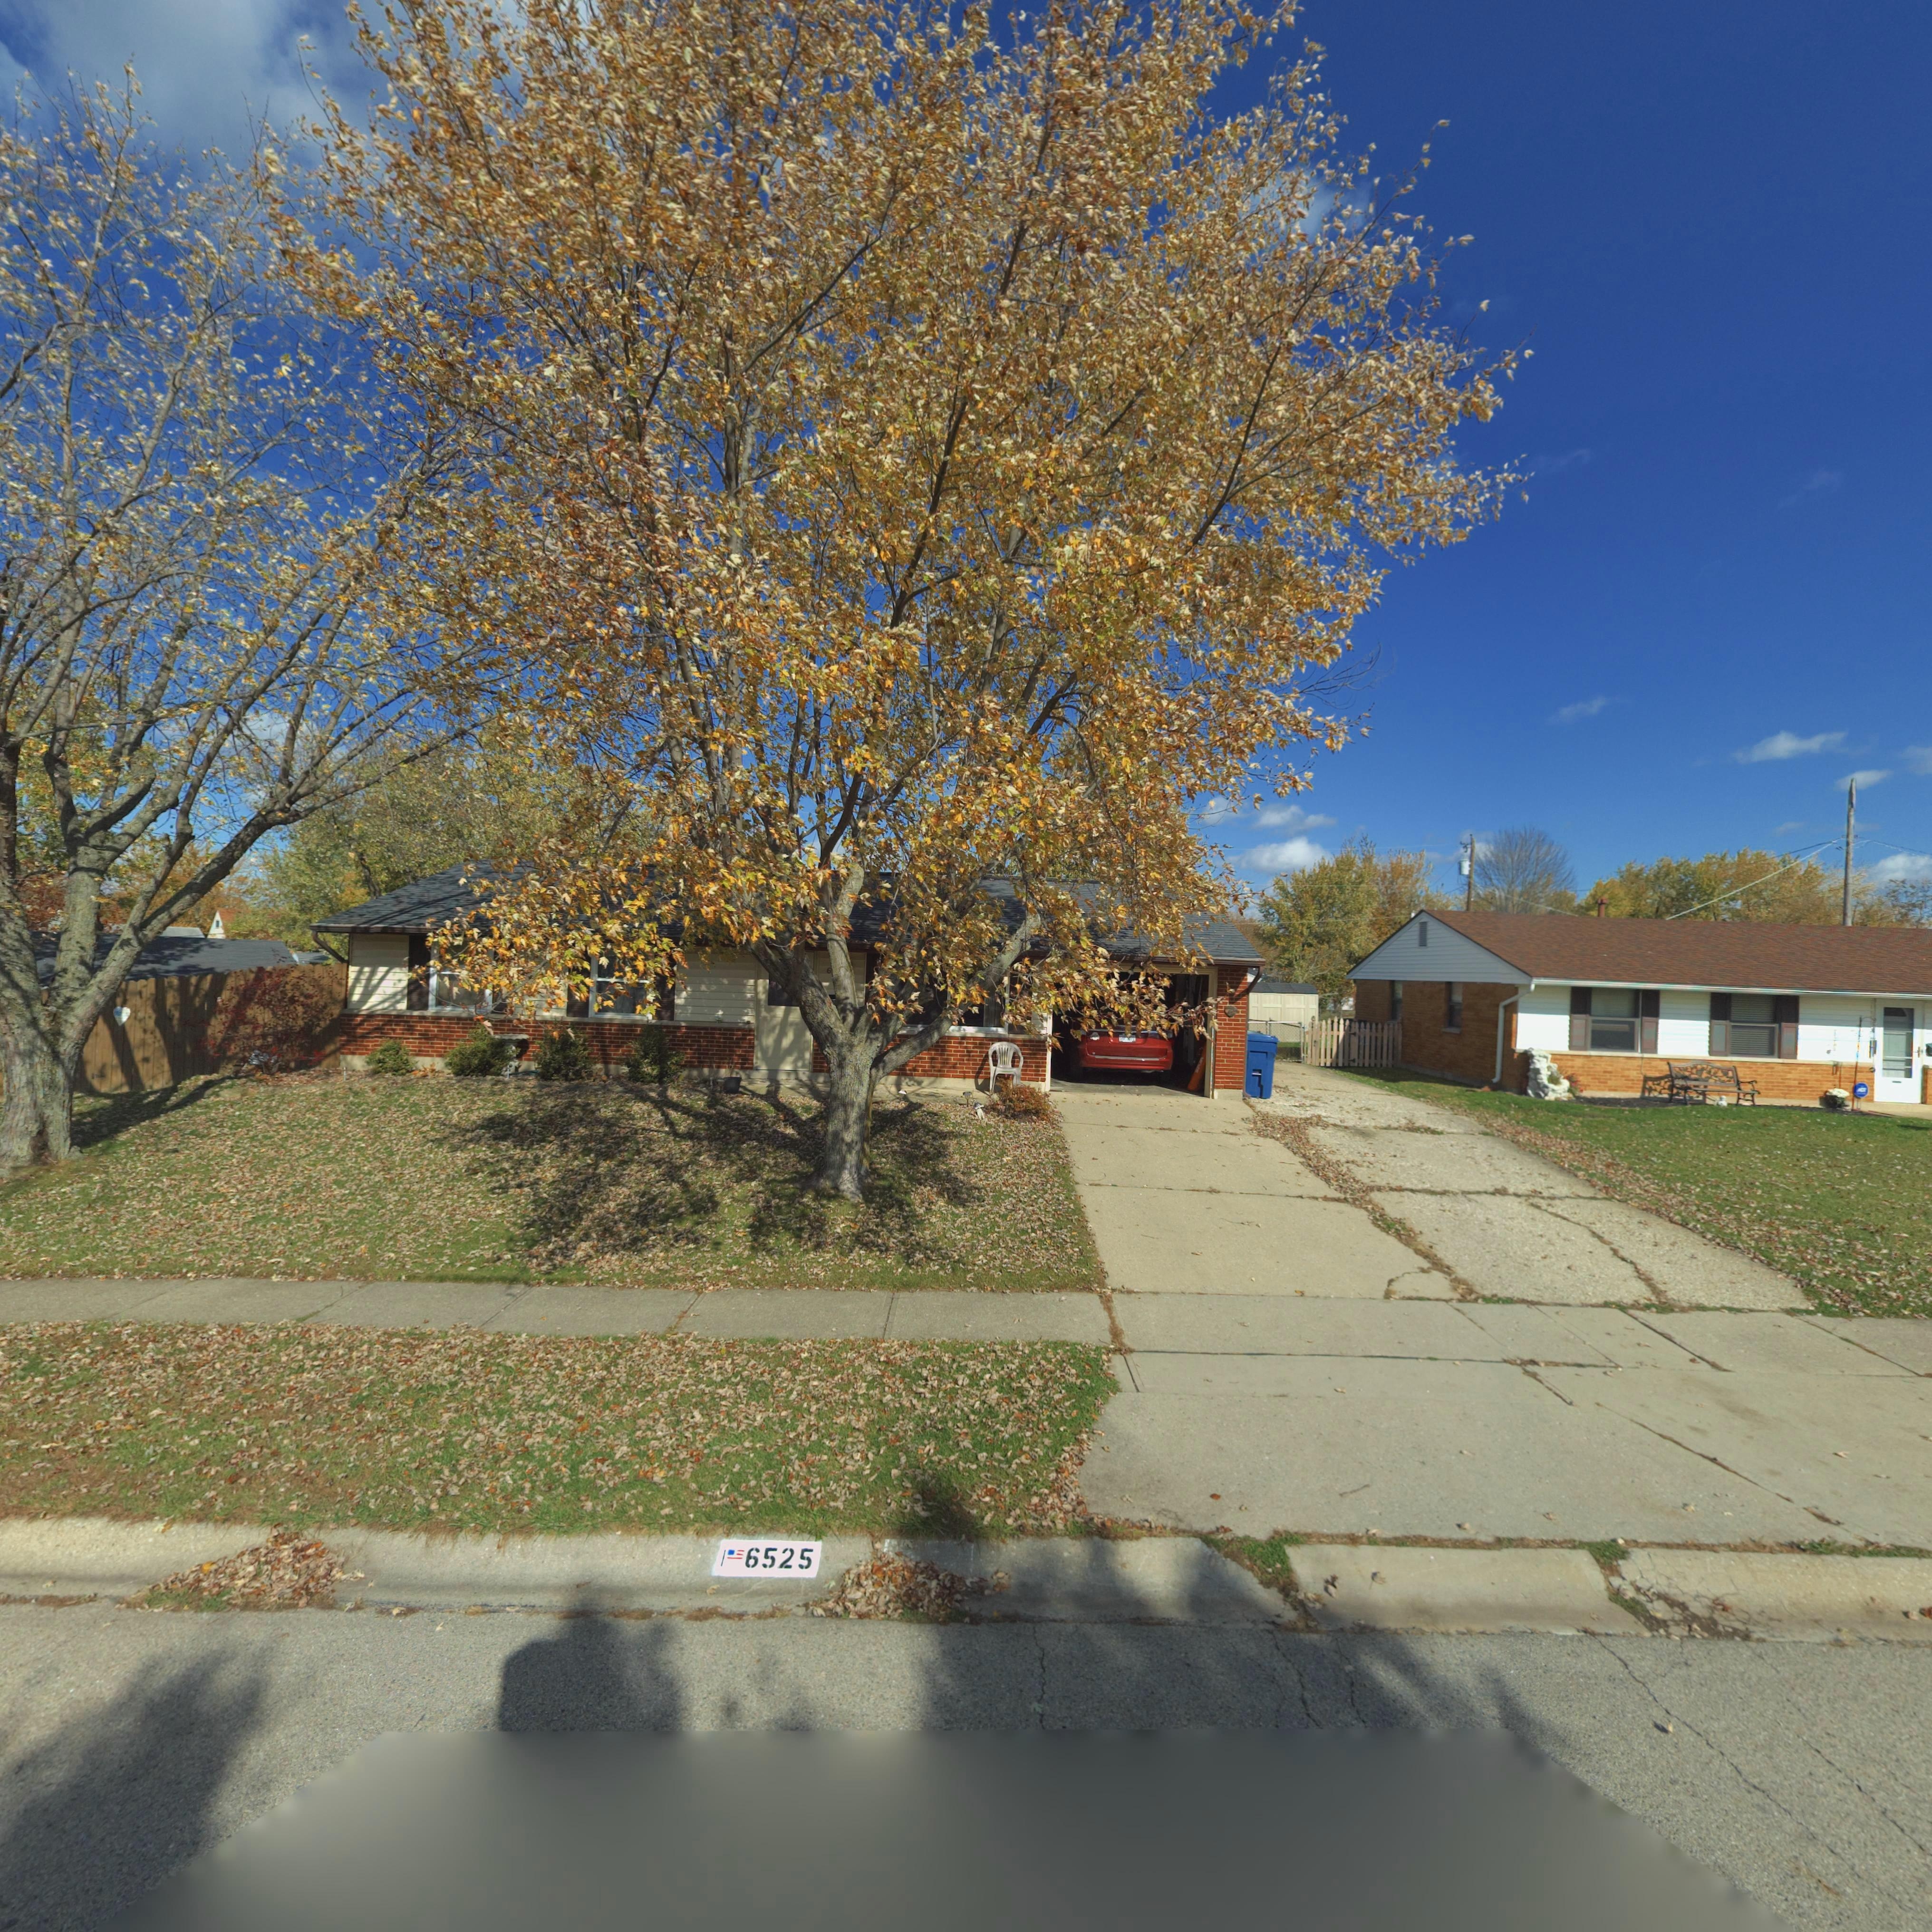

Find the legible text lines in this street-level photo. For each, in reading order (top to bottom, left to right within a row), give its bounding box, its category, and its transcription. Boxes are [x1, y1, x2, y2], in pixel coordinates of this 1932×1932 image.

[744, 1546, 814, 1570] StreetNumber: 6525